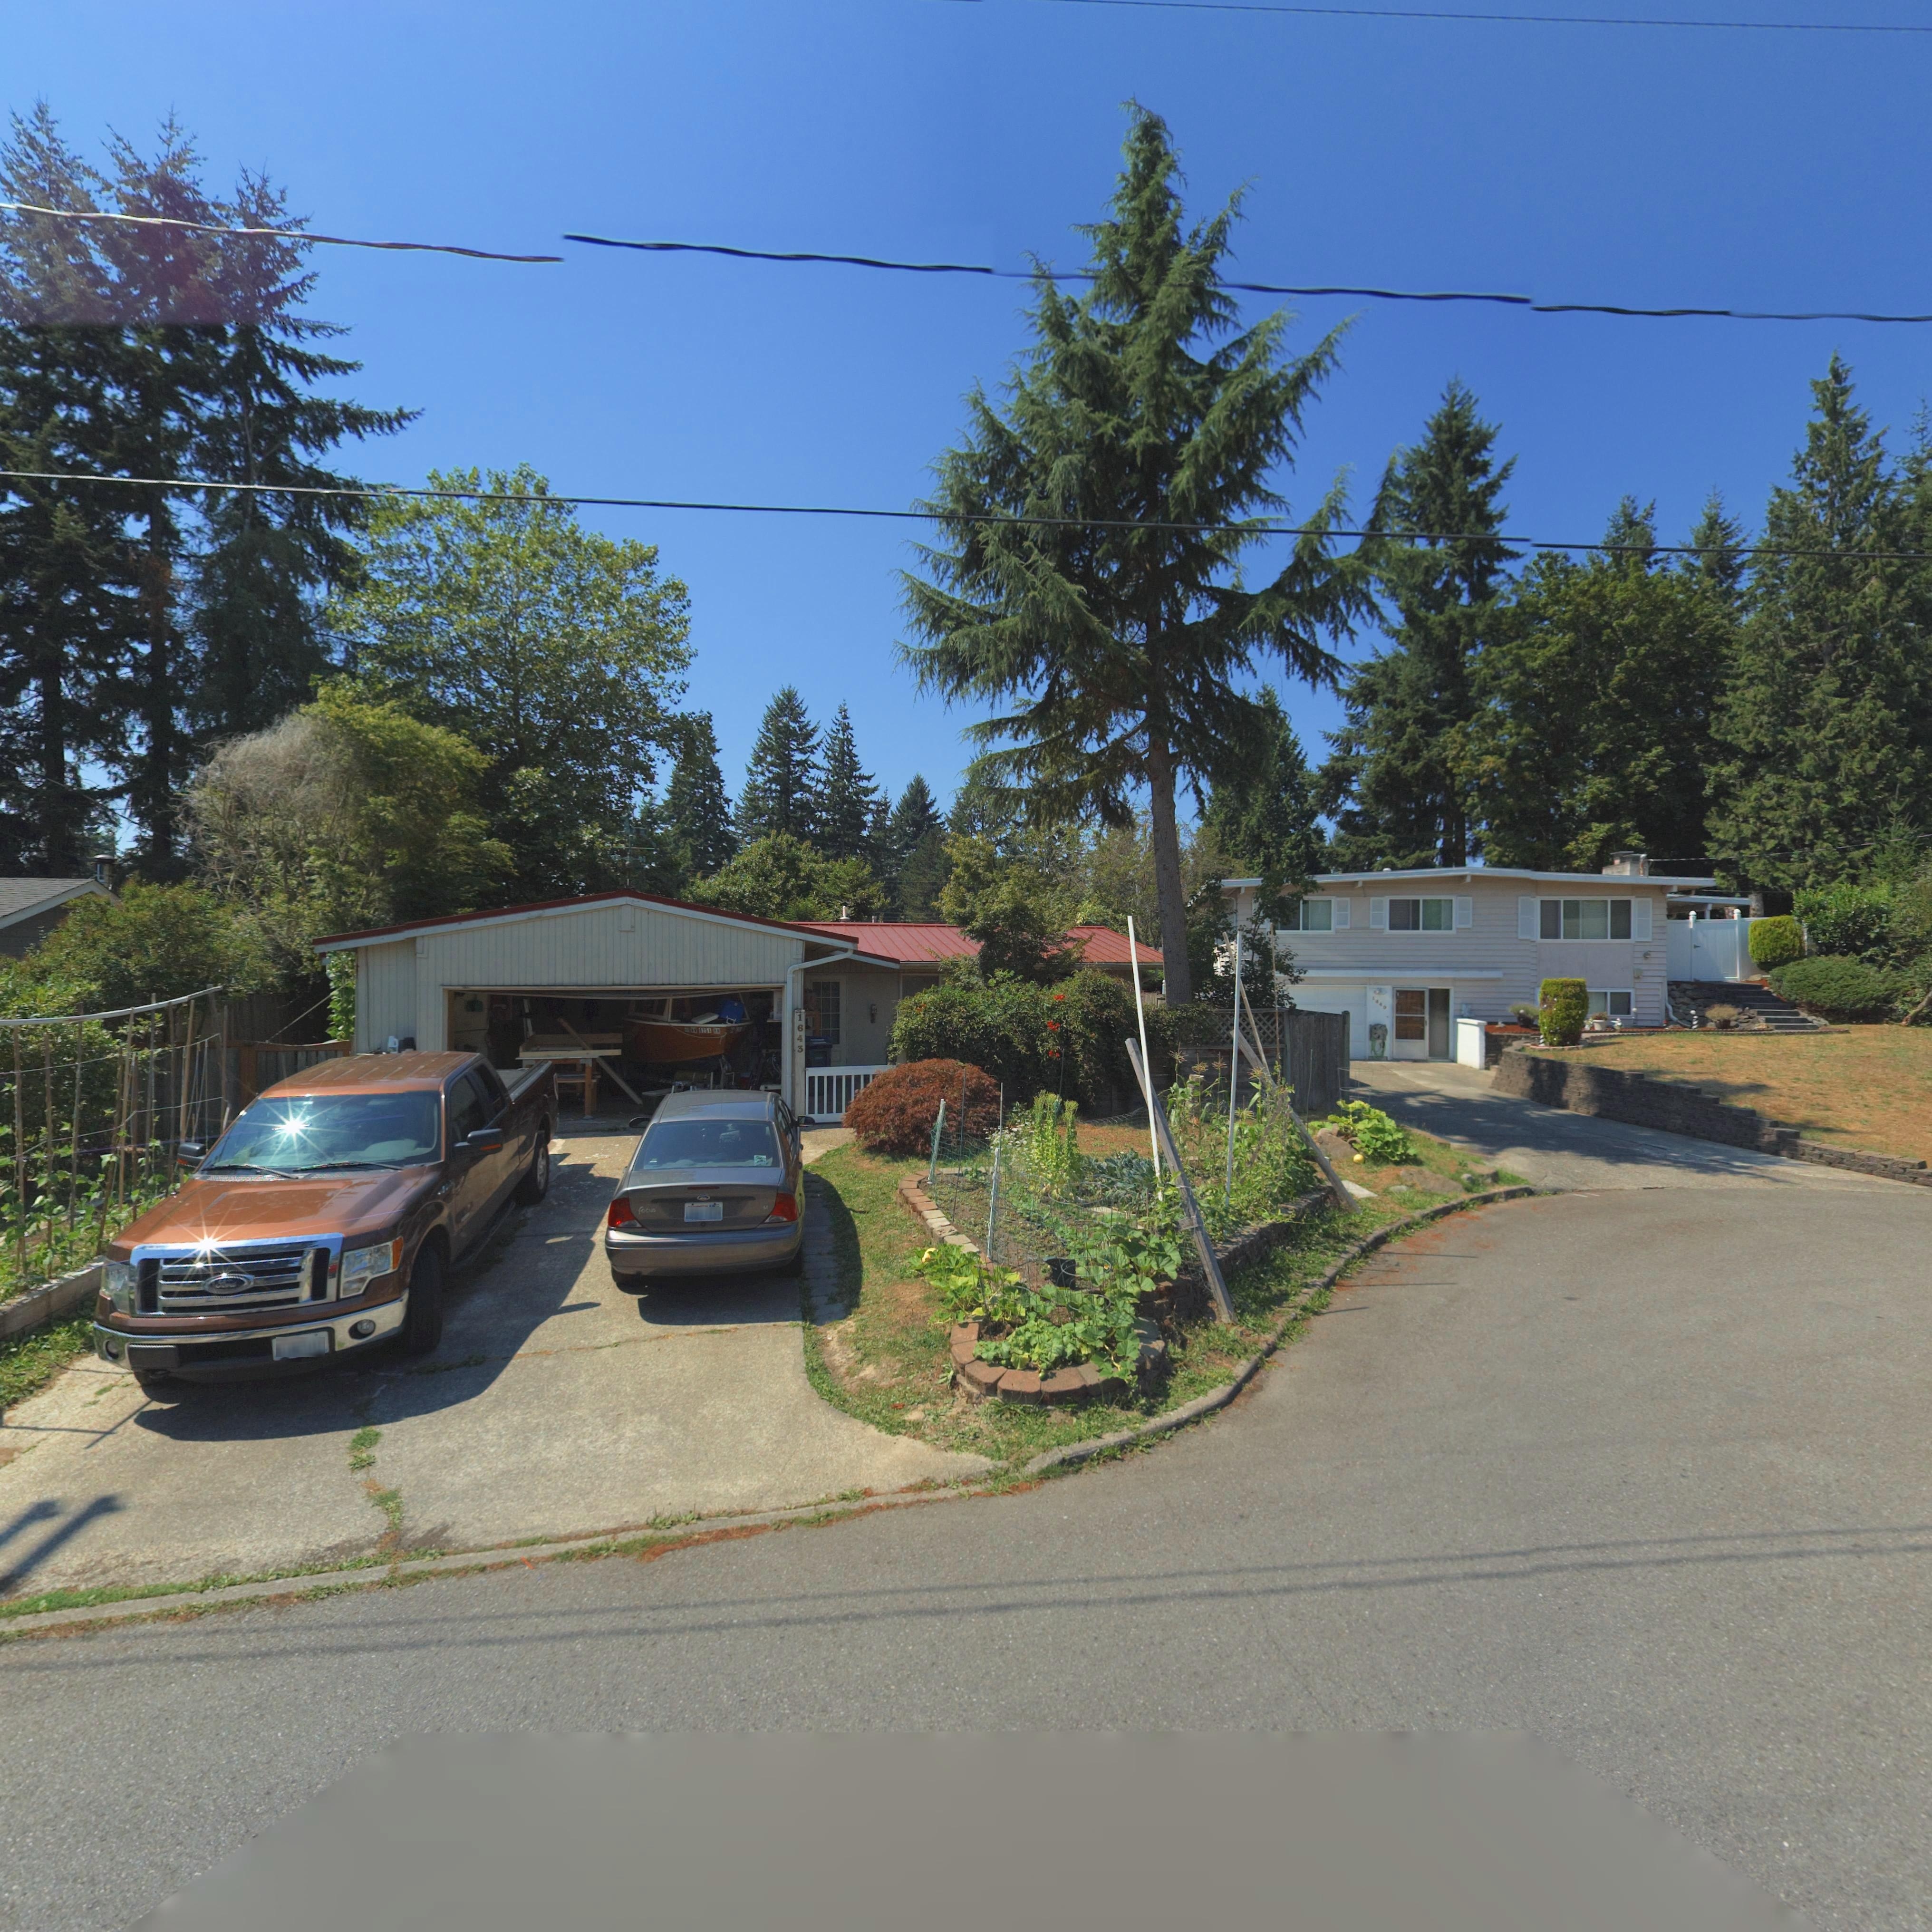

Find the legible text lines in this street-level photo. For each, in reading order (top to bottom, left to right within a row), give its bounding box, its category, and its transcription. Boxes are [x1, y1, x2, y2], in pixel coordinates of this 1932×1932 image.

[797, 1013, 804, 1054] StreetNumber: 1643